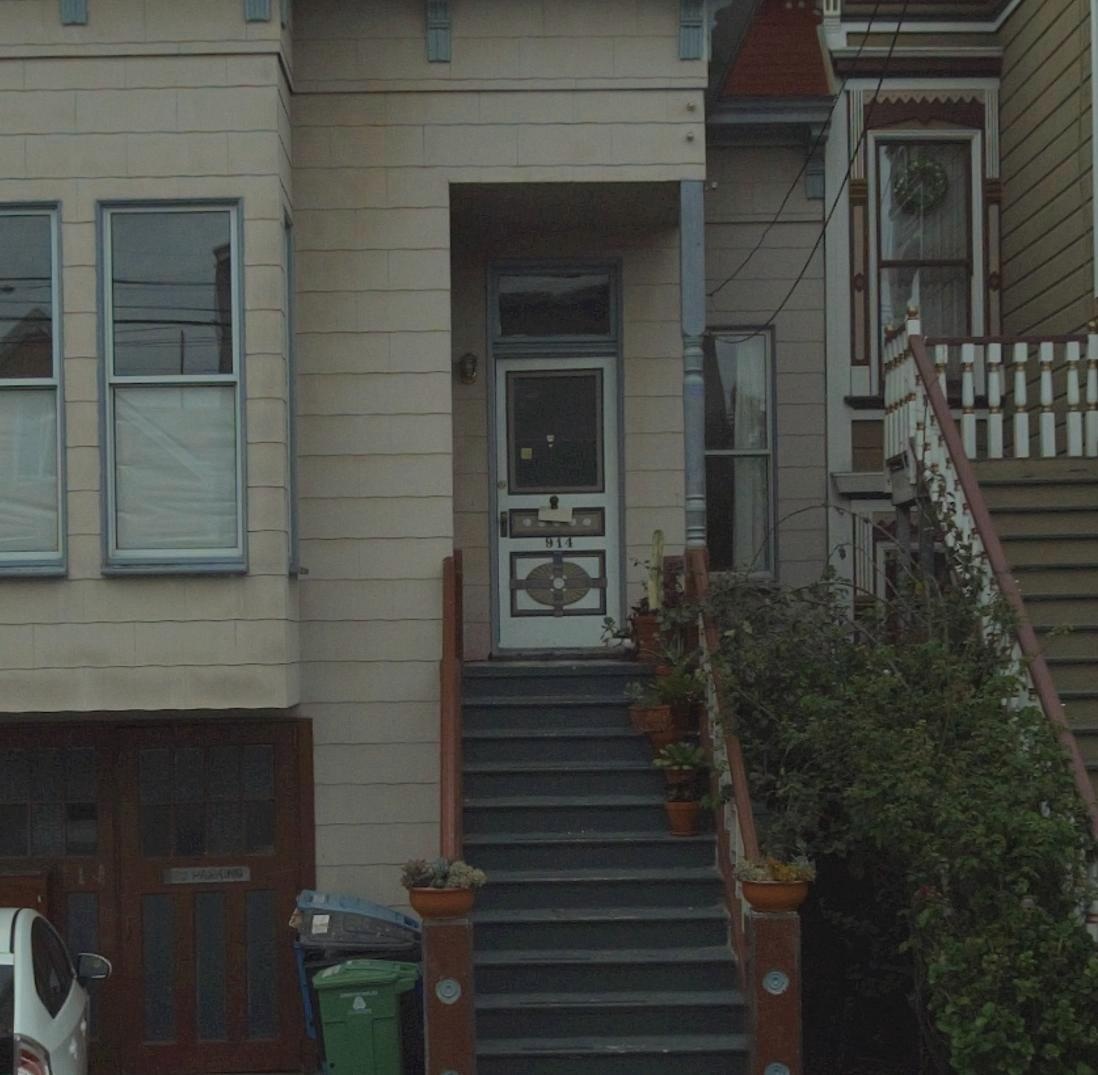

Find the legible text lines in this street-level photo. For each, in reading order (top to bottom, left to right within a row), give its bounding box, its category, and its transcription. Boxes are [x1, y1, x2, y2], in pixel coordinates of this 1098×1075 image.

[544, 536, 574, 549] StreetNumber: 914
[190, 866, 244, 882] None: PARKING